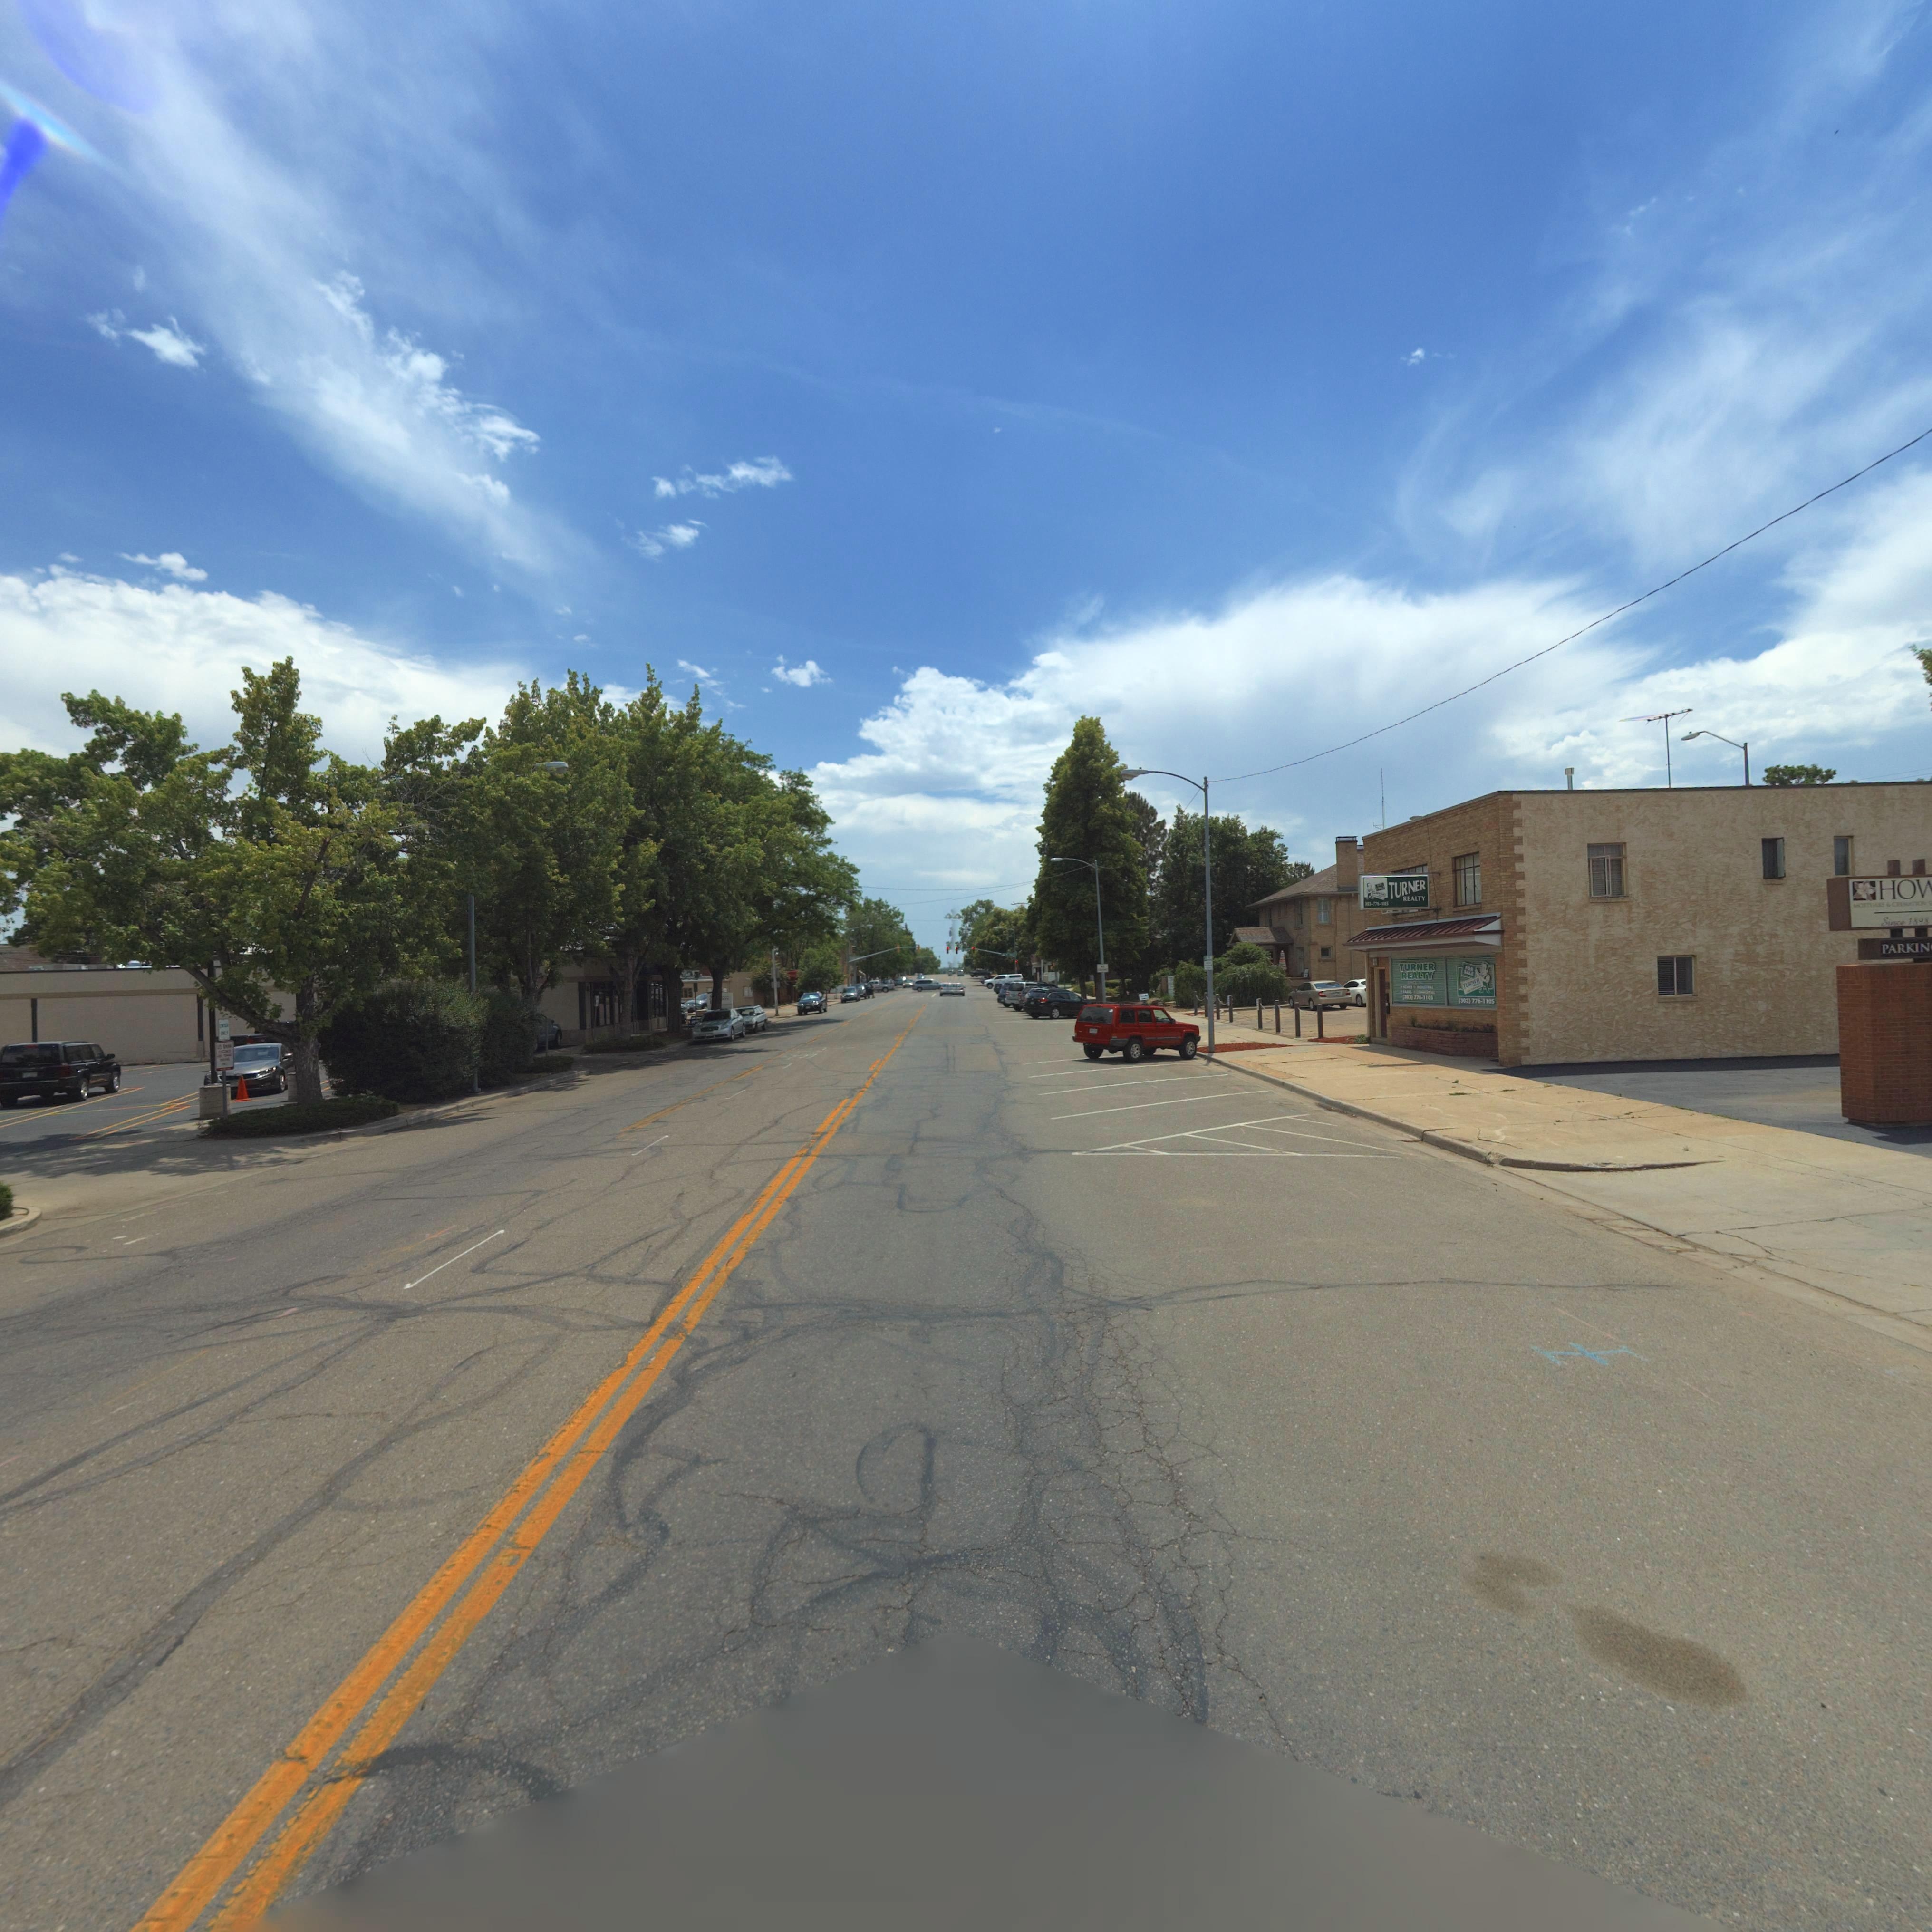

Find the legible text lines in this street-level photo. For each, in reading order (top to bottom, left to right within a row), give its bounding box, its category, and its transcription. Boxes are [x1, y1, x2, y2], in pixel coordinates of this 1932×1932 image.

[1388, 879, 1426, 899] BusinessName: TURNER
[1879, 879, 1929, 899] BusinessName: HO**
[1403, 896, 1425, 901] BusinessName: REALTY
[1399, 963, 1434, 971] BusinessName: TURNER
[1401, 971, 1433, 979] BusinessName: REALTY
[1462, 977, 1480, 989] BusinessName: TU**ER